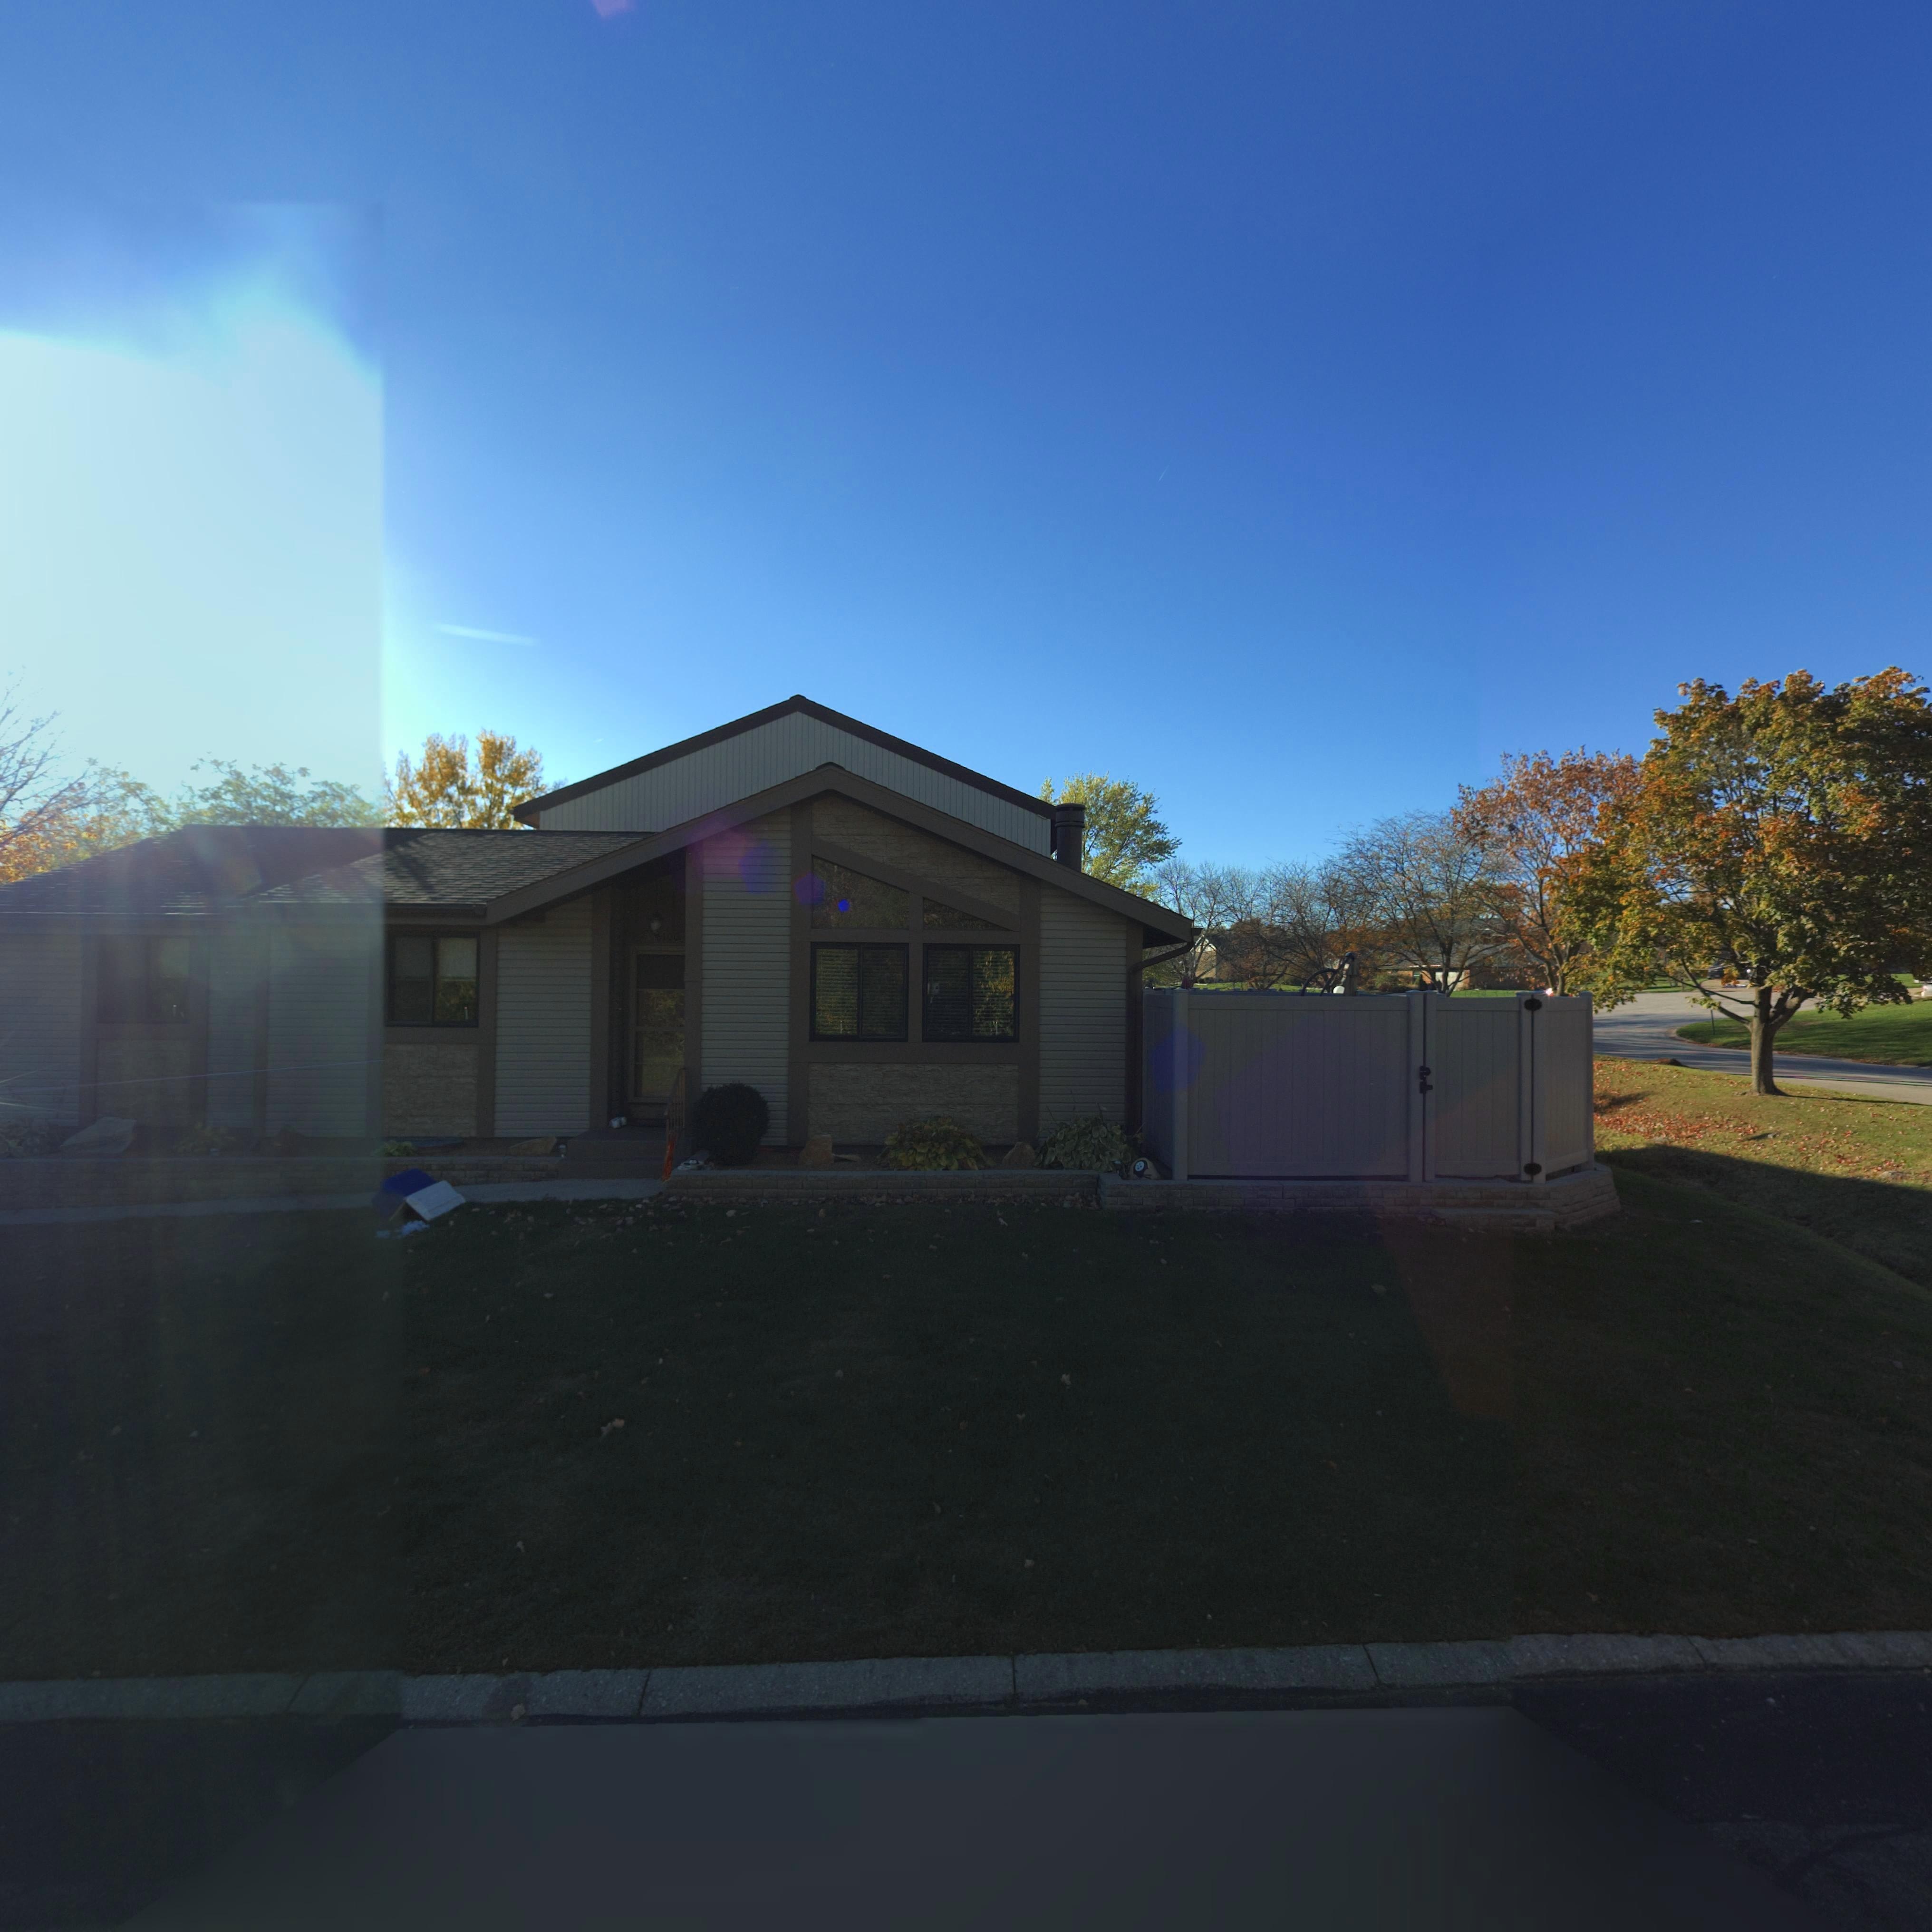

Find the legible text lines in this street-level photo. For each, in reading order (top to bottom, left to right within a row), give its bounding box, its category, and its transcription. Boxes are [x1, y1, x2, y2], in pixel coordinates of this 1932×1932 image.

[655, 933, 680, 942] StreetNumber: 6100